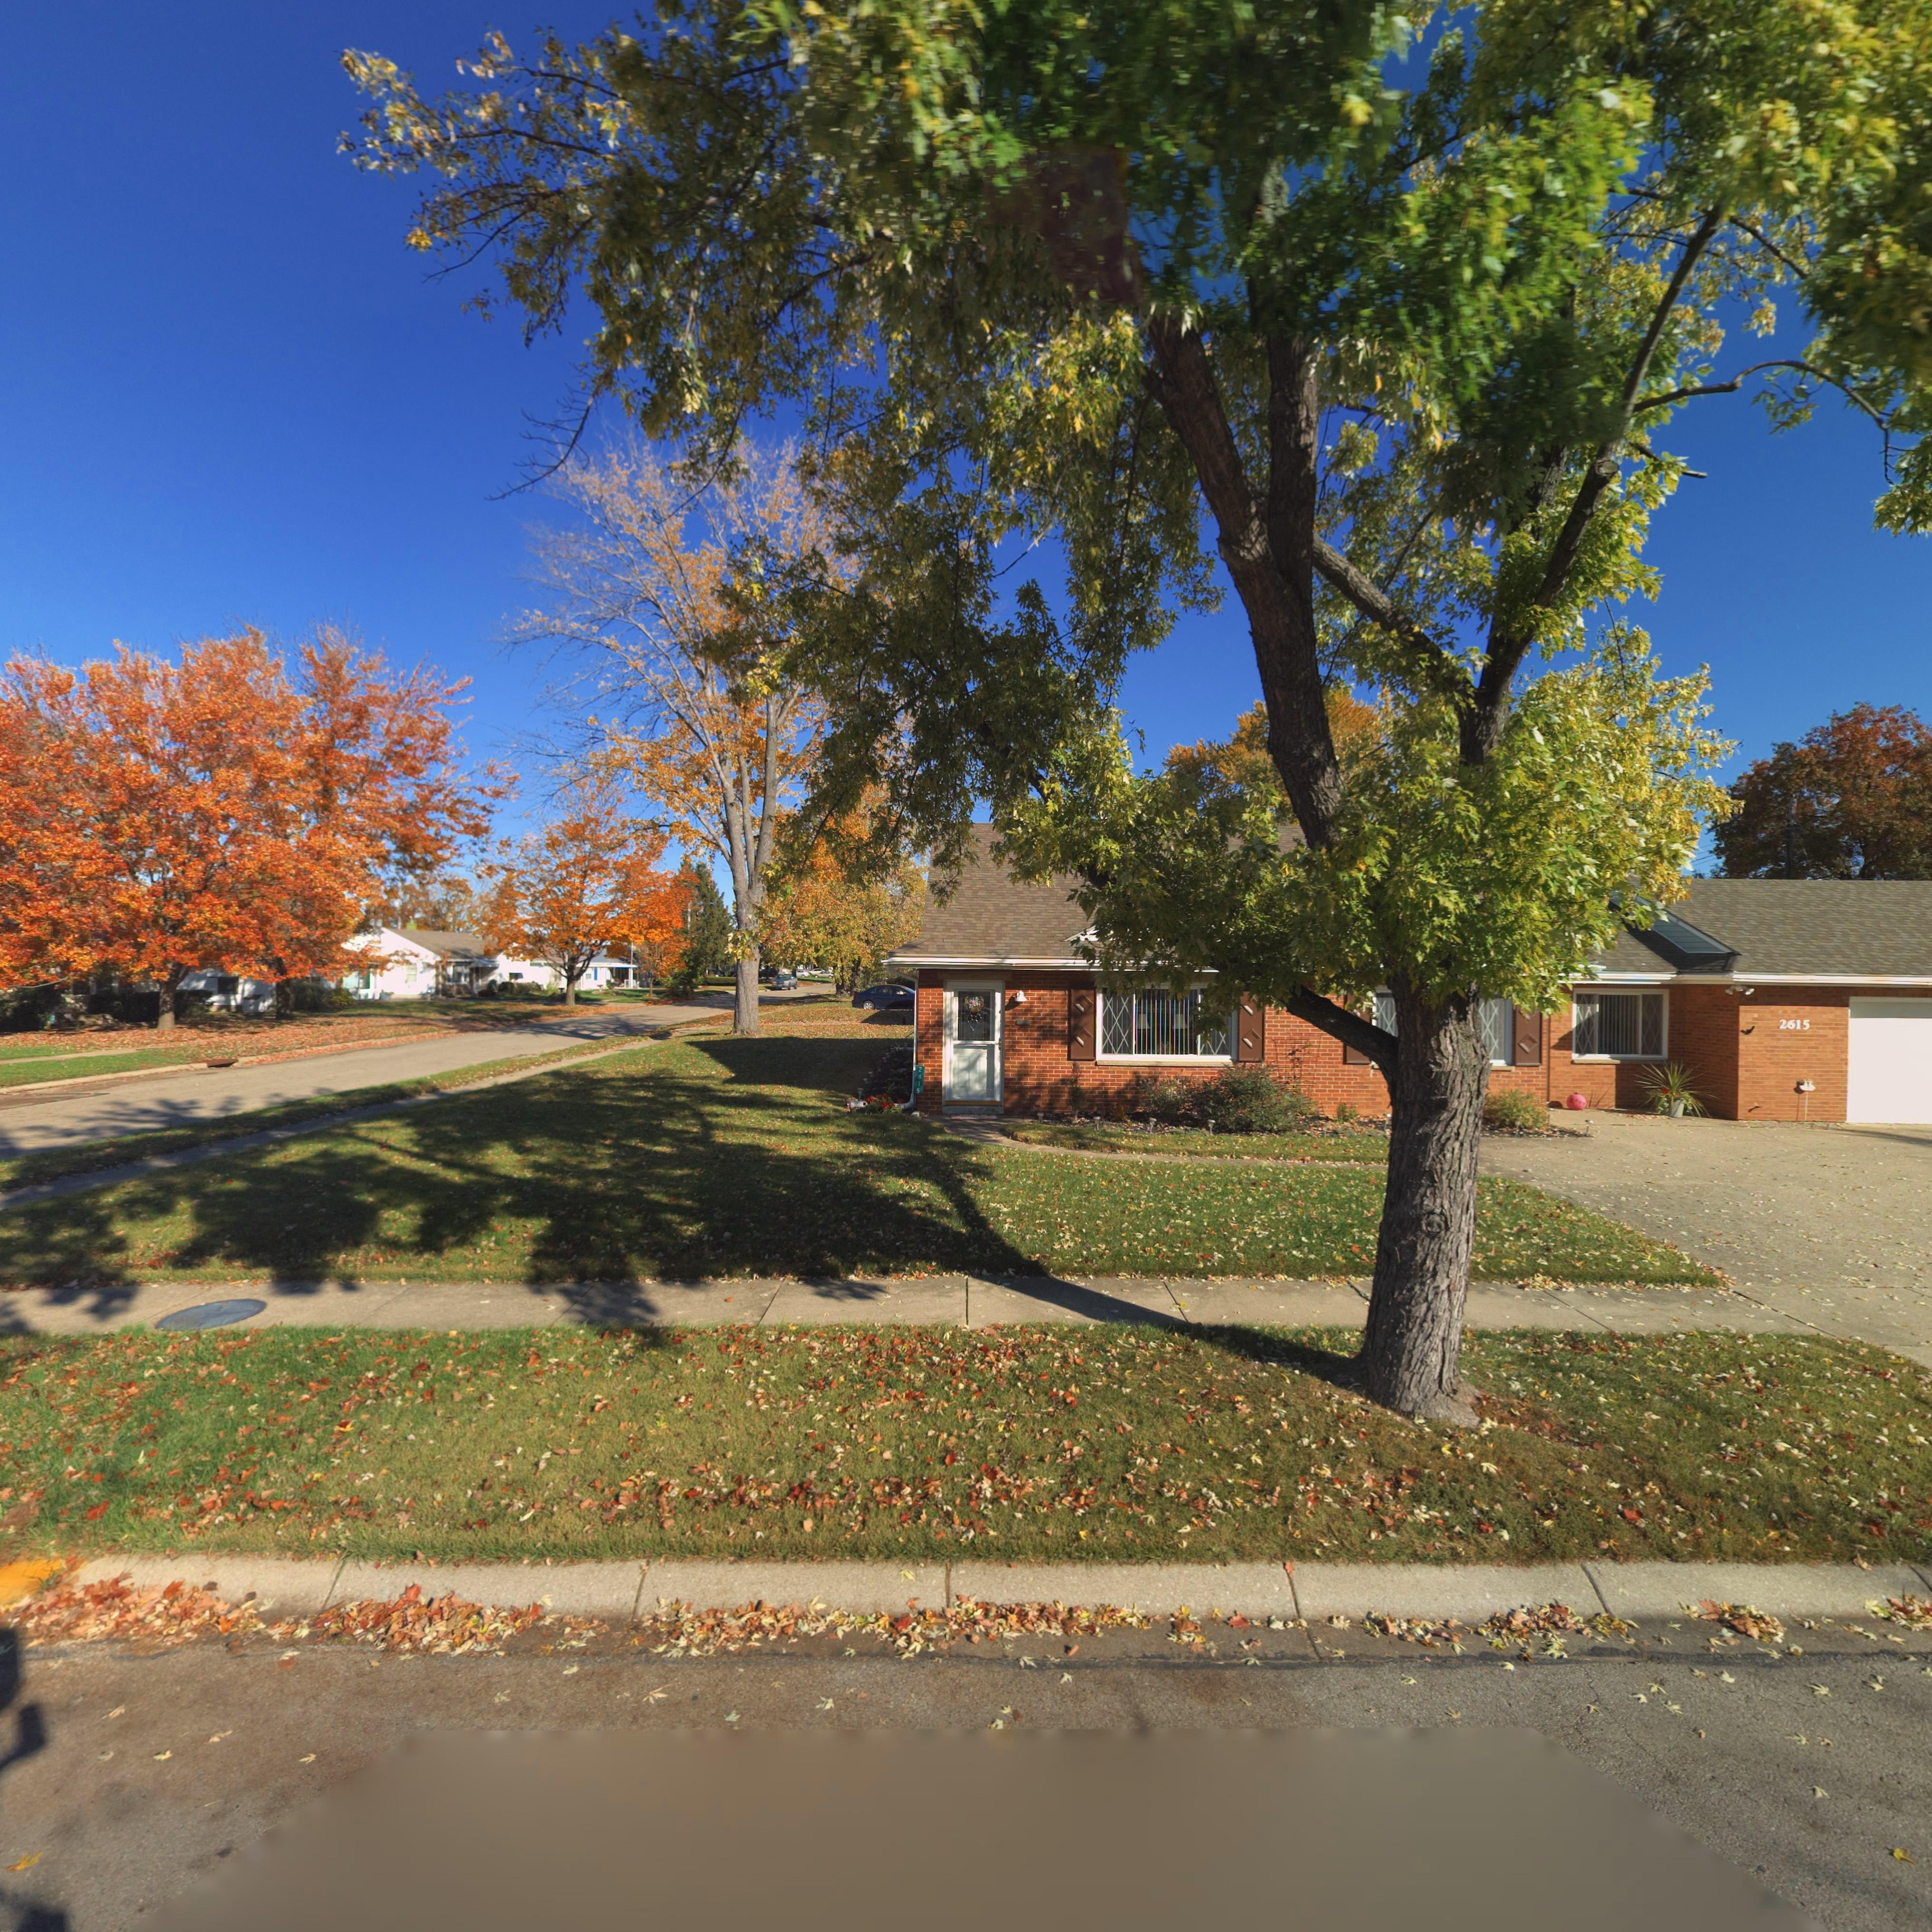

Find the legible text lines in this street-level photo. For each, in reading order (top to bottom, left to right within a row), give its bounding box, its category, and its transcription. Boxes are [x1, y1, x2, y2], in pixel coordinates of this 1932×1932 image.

[1778, 1018, 1810, 1030] StreetNumber: 2615
[915, 1066, 923, 1093] StreetNumber: 2615